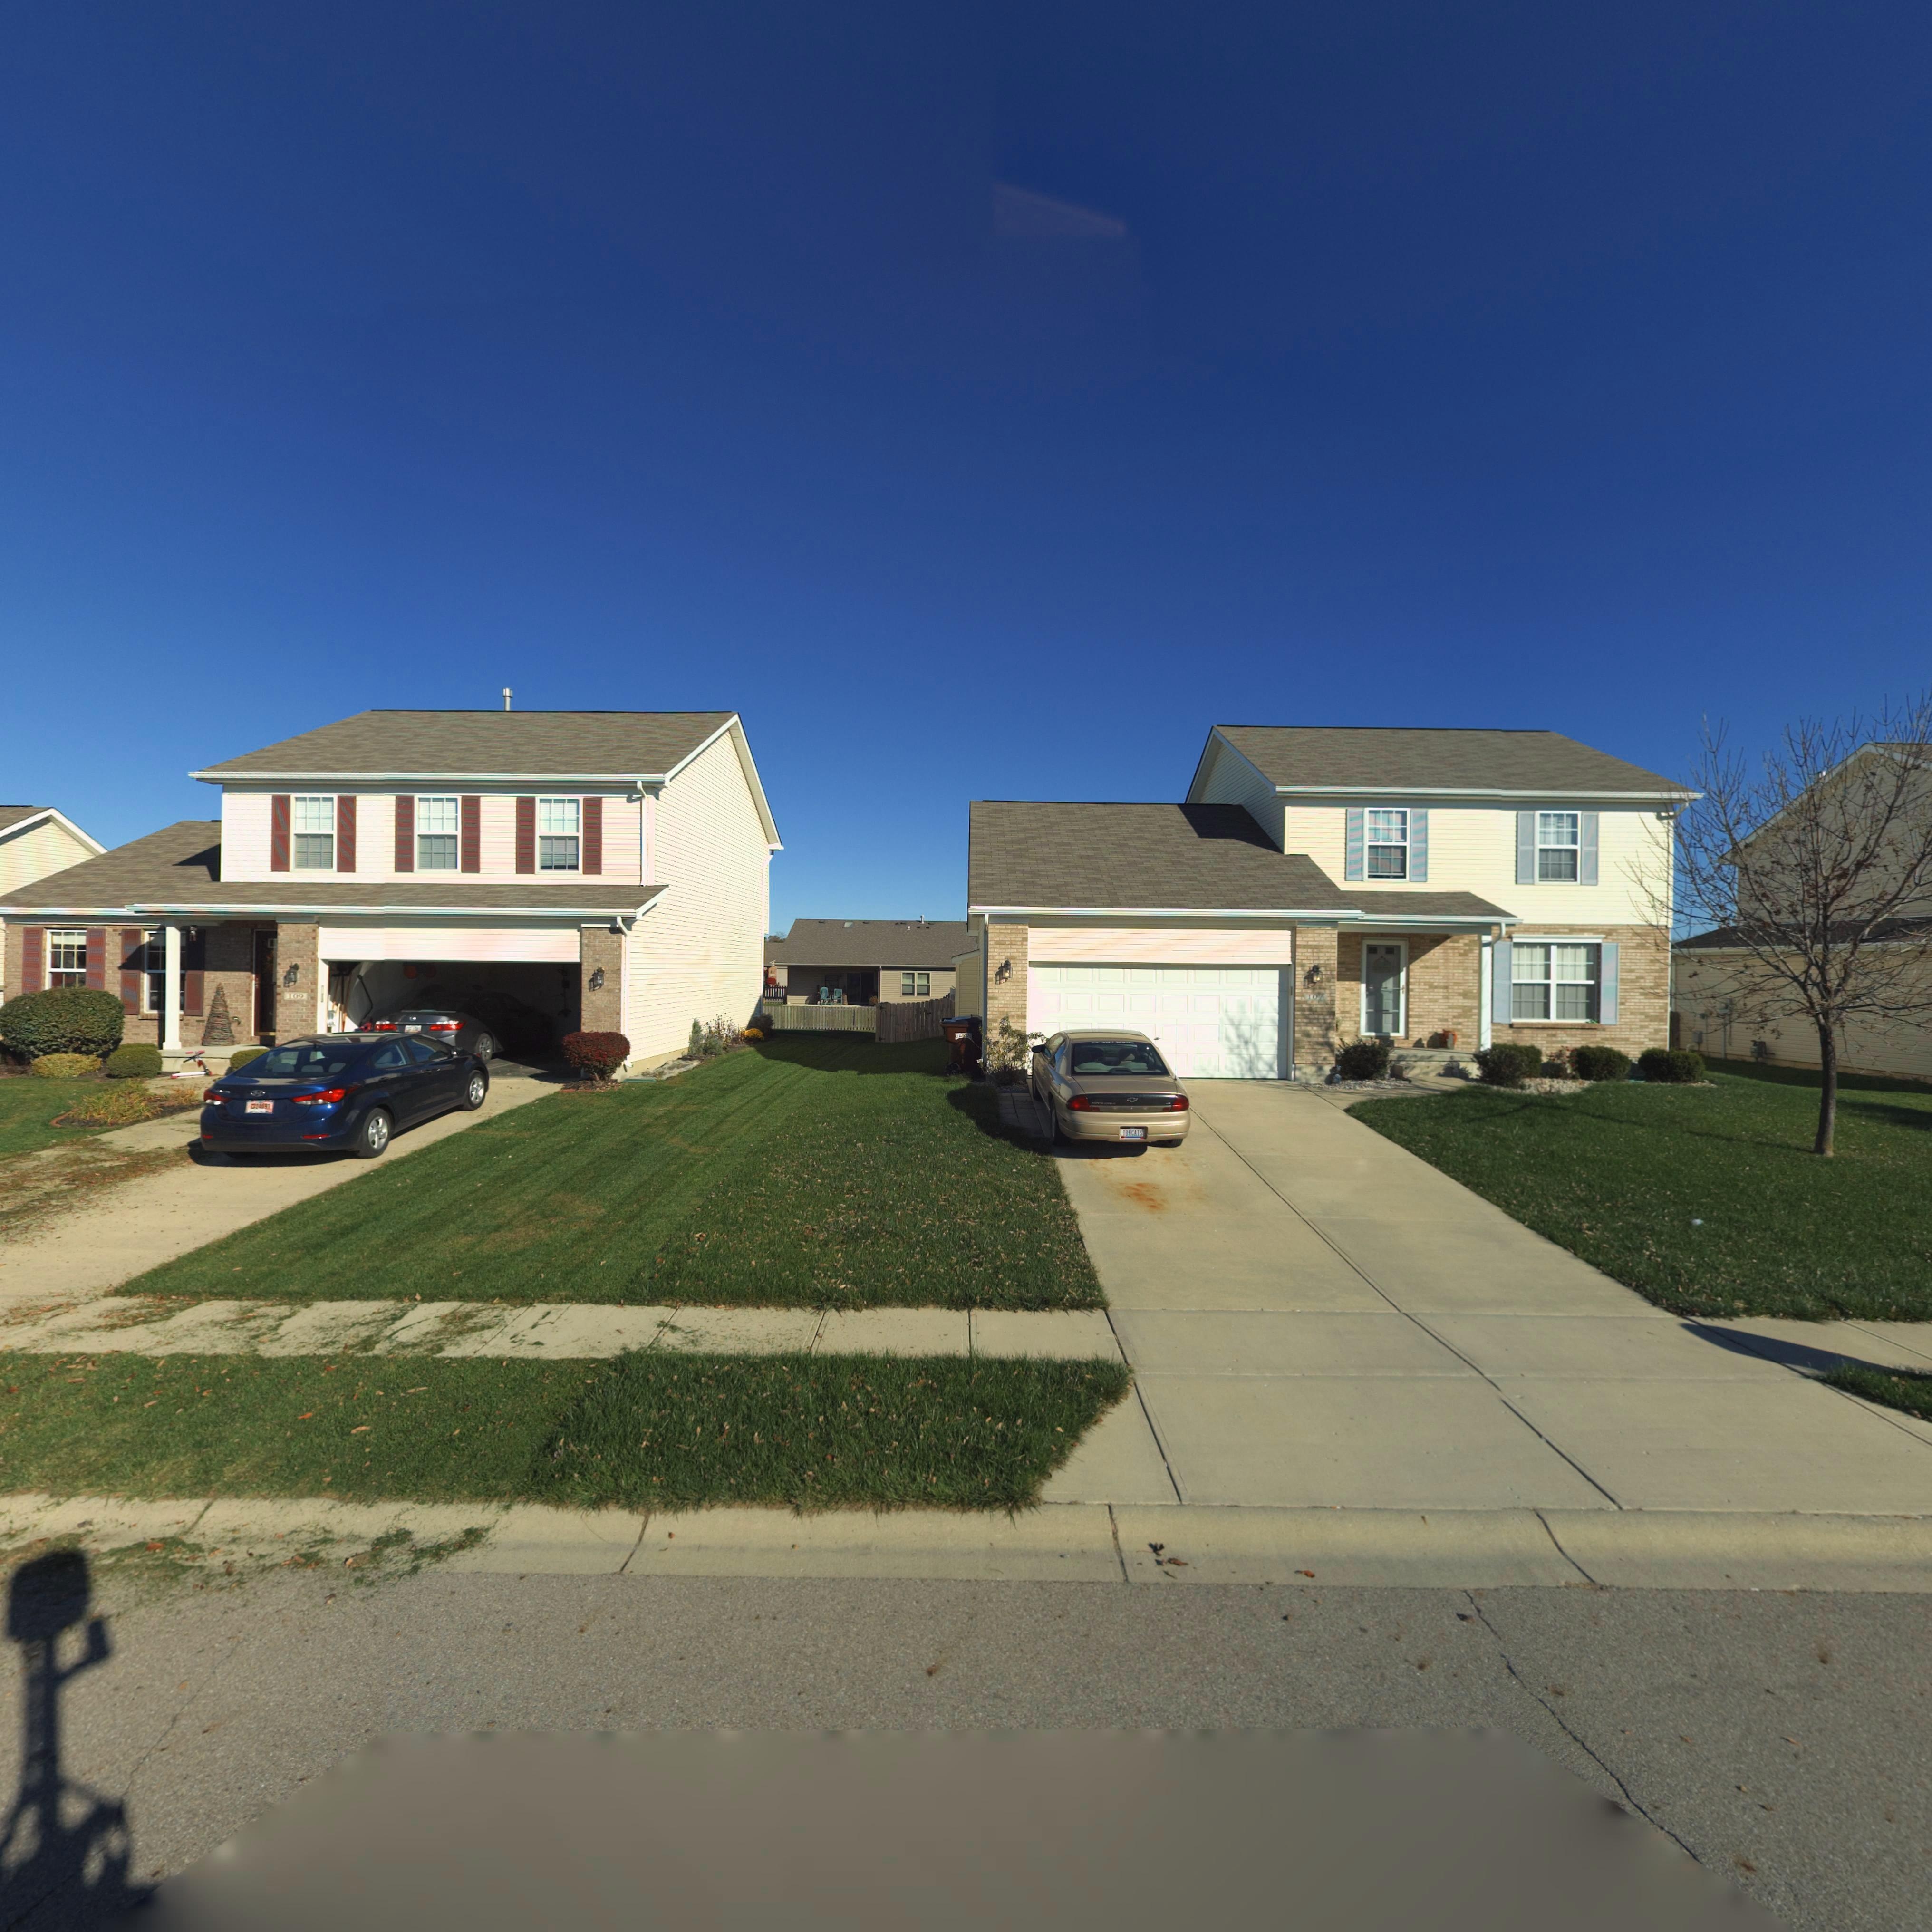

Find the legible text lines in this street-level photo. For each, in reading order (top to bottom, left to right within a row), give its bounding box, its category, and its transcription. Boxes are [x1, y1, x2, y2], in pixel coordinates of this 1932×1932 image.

[288, 992, 304, 1000] StreetNumber: 109
[1308, 994, 1323, 1000] StreetNumber: 107